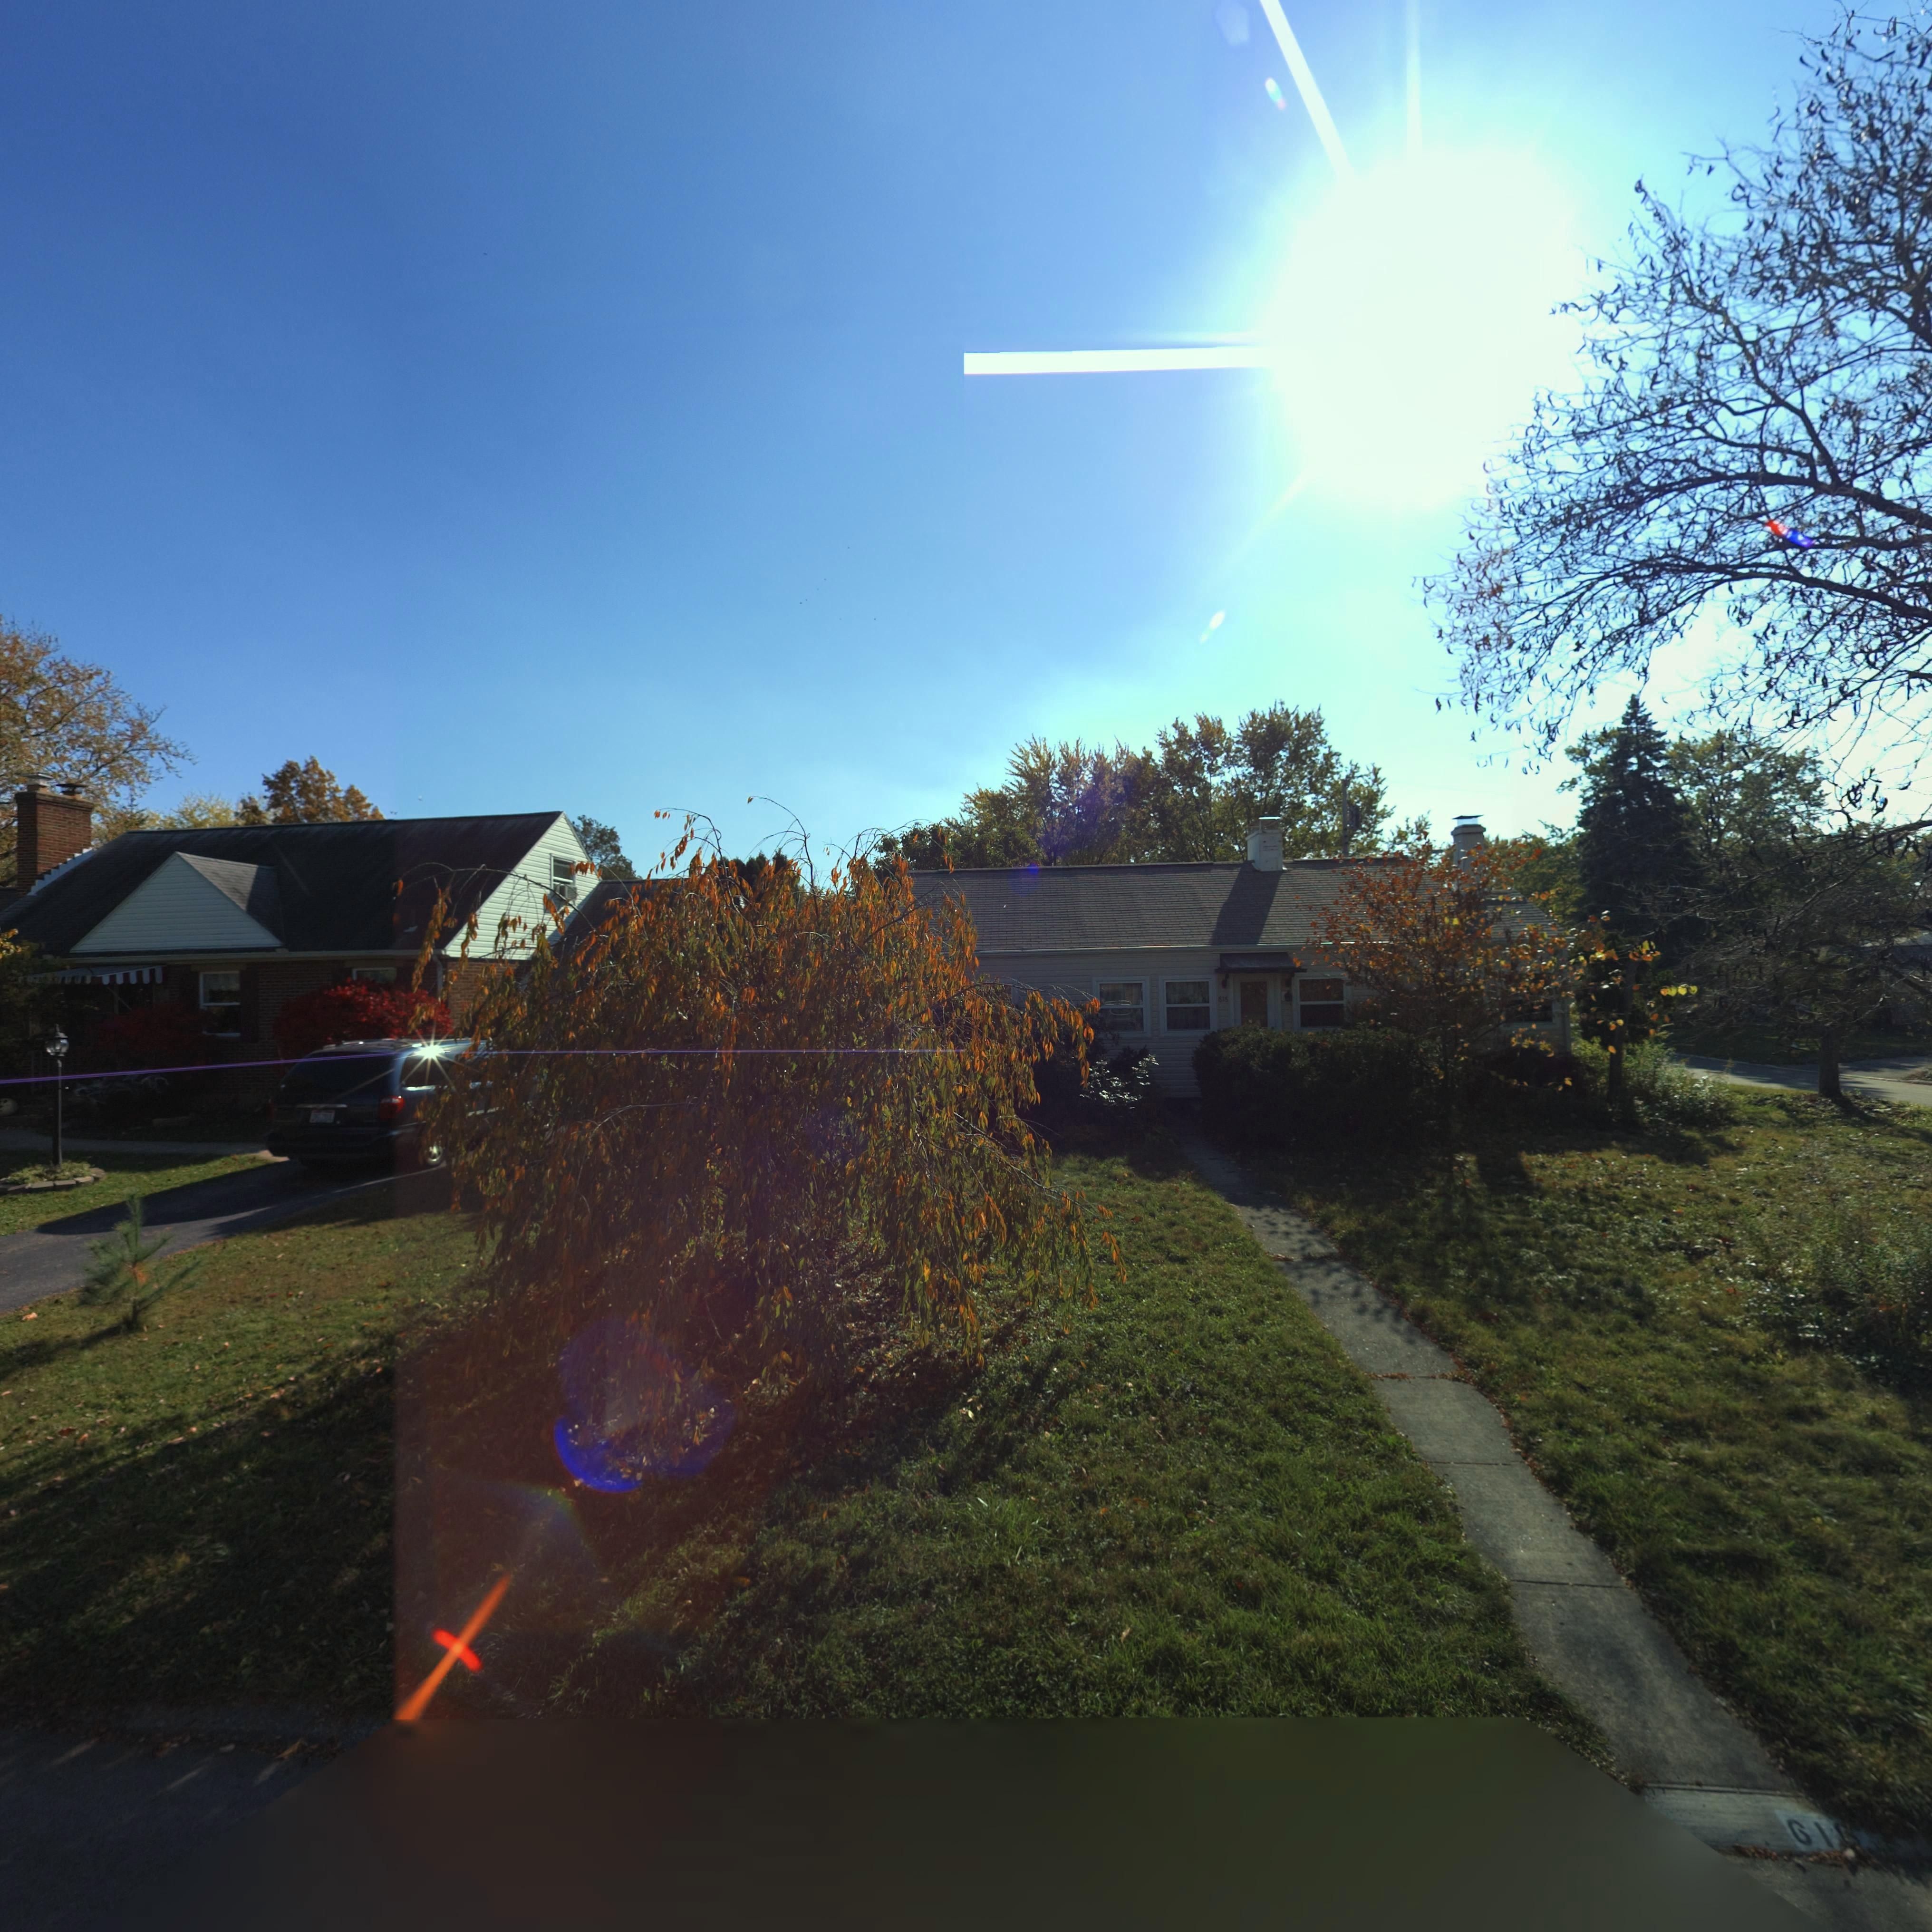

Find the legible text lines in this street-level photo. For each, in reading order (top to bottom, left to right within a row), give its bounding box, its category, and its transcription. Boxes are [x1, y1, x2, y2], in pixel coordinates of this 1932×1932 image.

[1217, 995, 1229, 1003] StreetNumber: 616